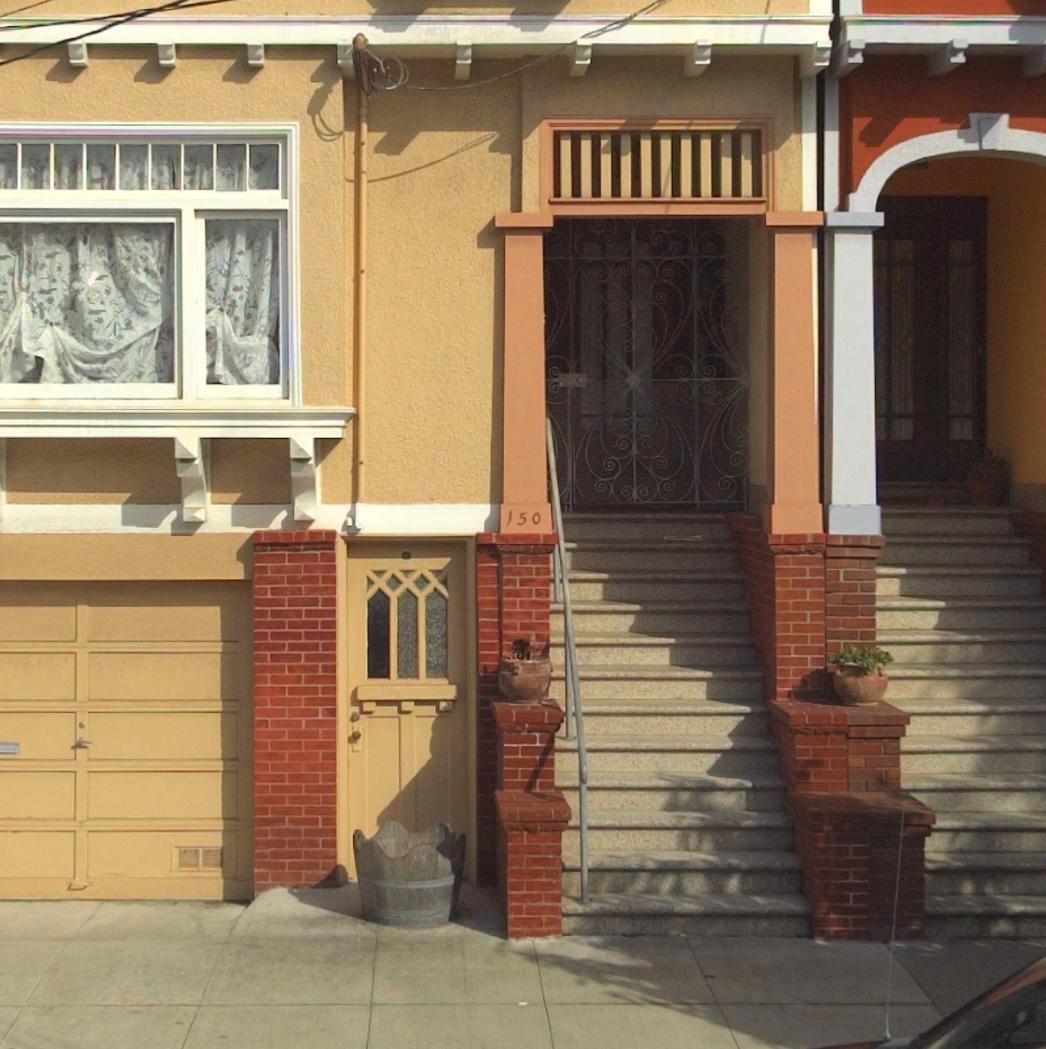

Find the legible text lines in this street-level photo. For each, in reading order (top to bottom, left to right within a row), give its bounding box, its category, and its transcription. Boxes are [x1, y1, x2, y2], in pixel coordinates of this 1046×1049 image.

[505, 508, 543, 528] StreetNumber: 150